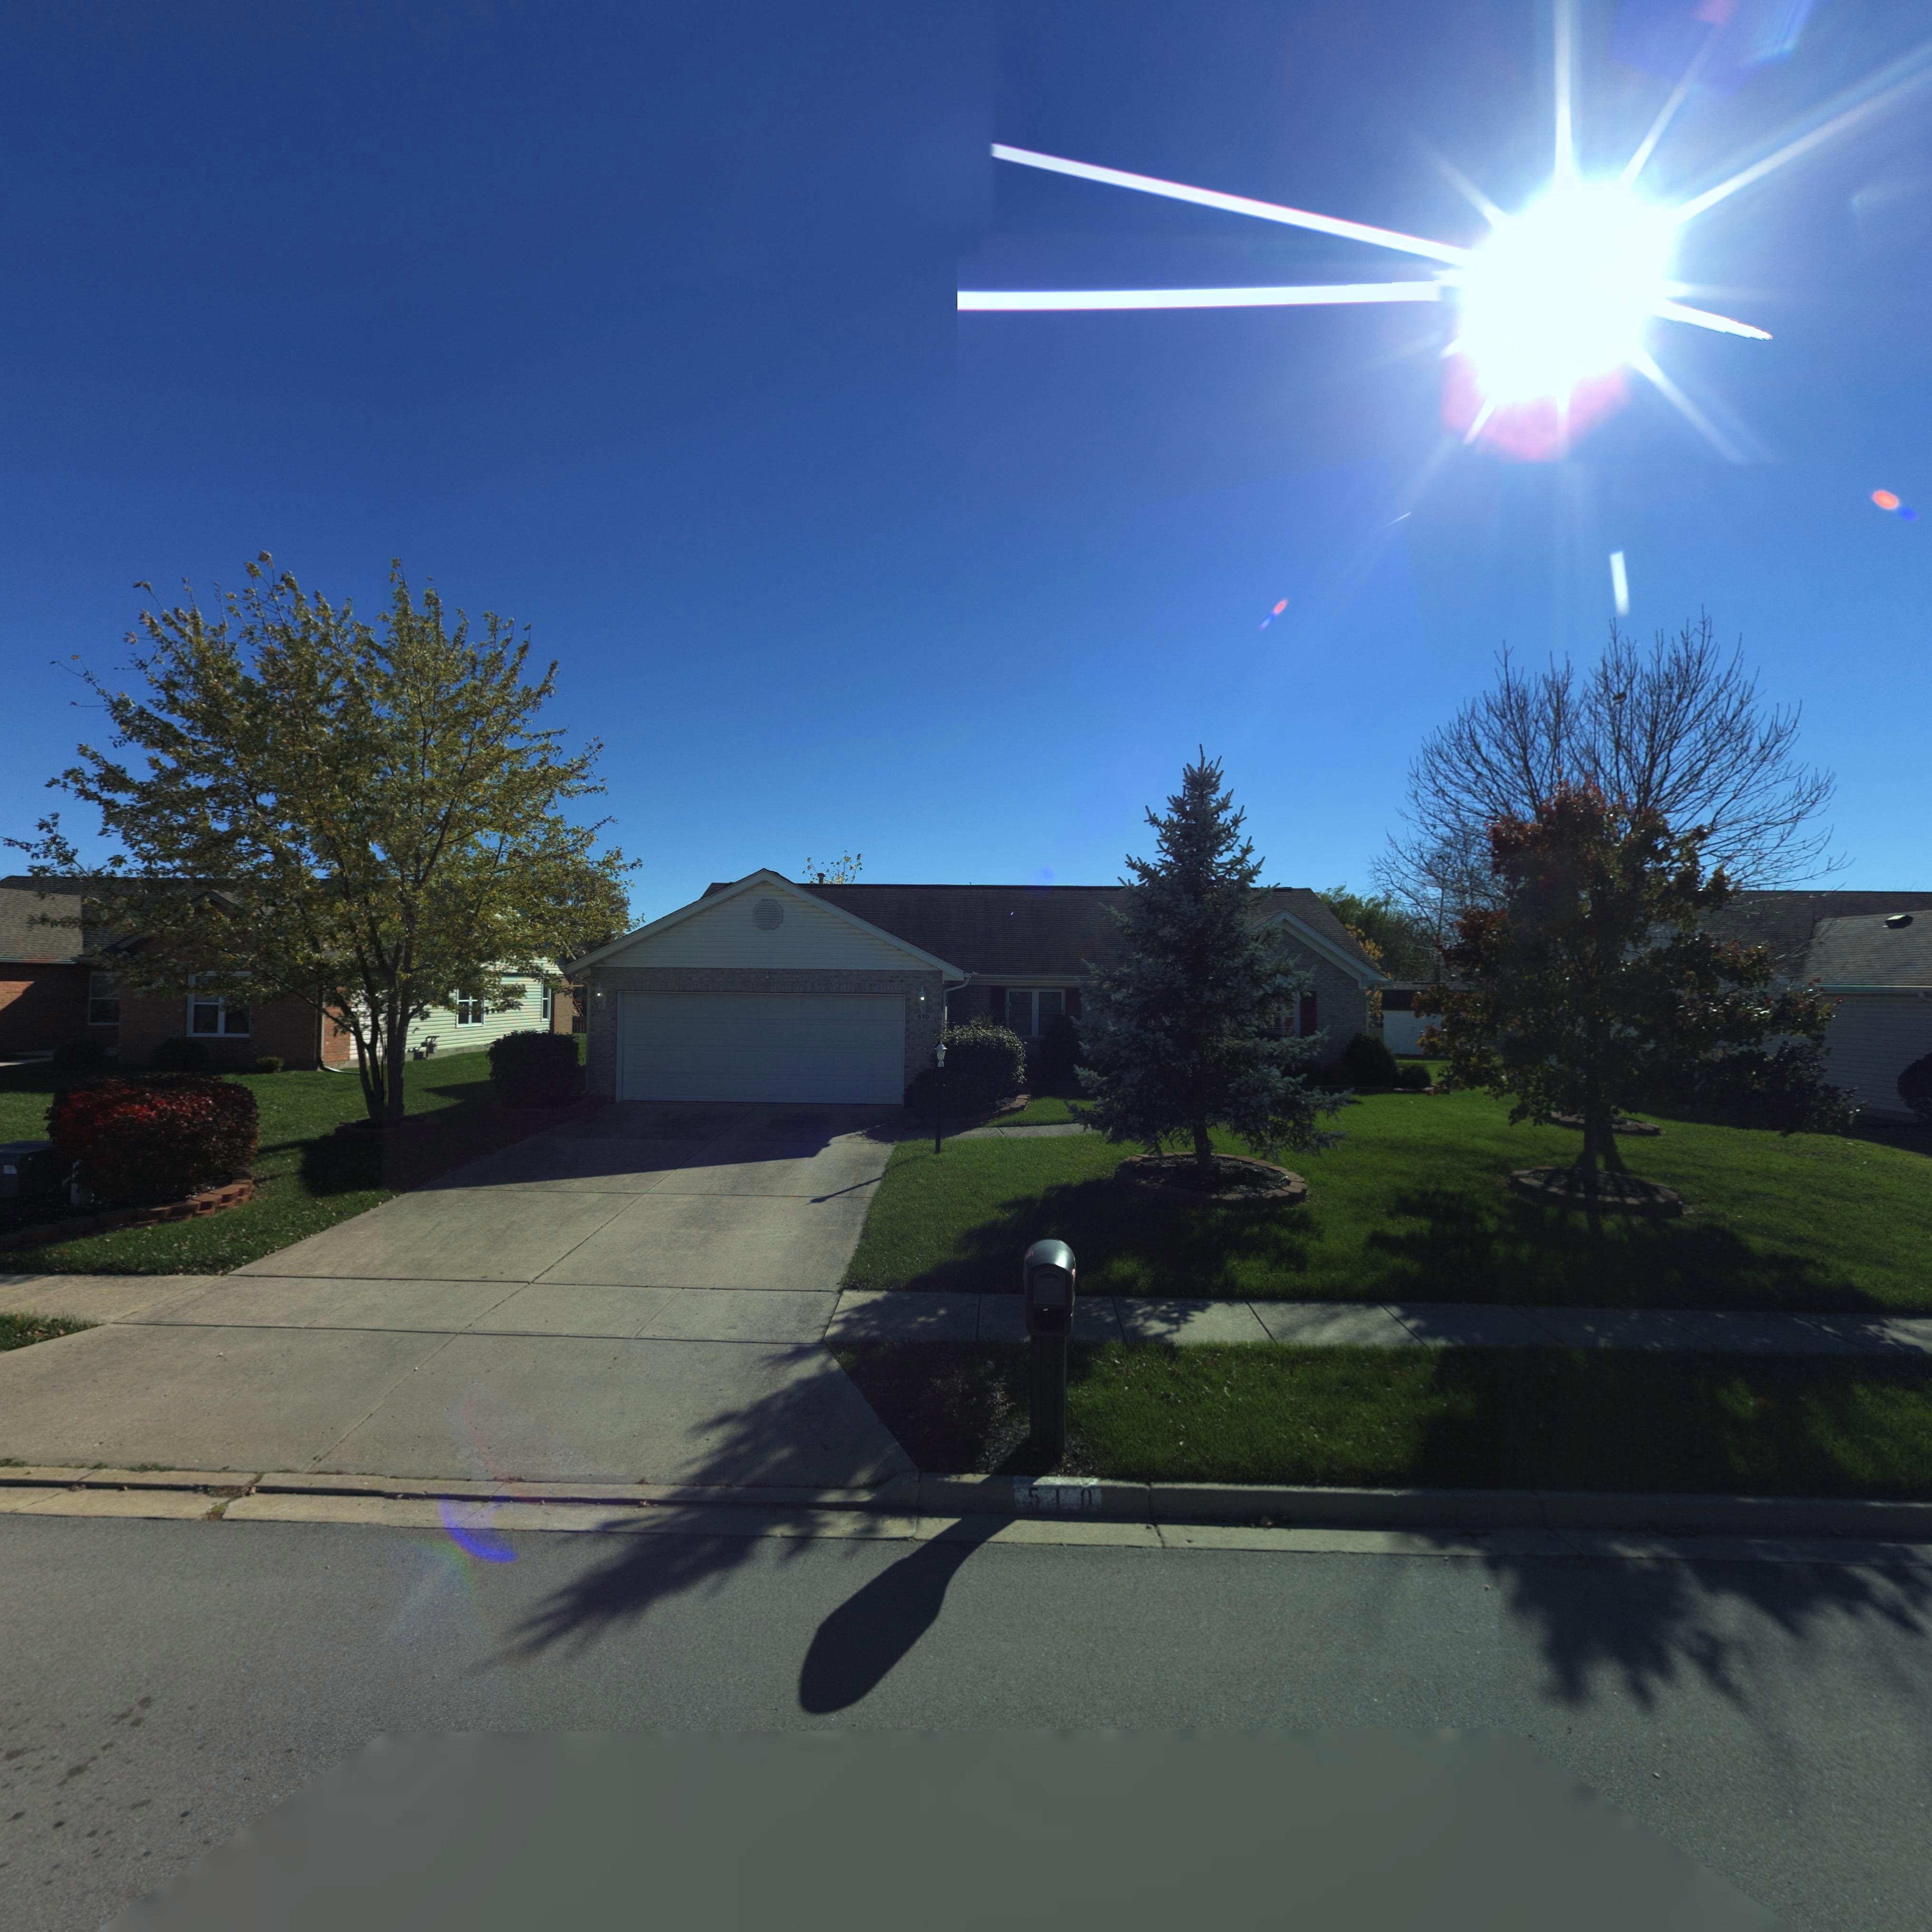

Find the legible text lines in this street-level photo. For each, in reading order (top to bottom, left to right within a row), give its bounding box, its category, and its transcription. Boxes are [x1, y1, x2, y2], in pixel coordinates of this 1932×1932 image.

[917, 1014, 930, 1021] StreetNumber: 510
[1026, 1485, 1094, 1512] StreetNumber: 510